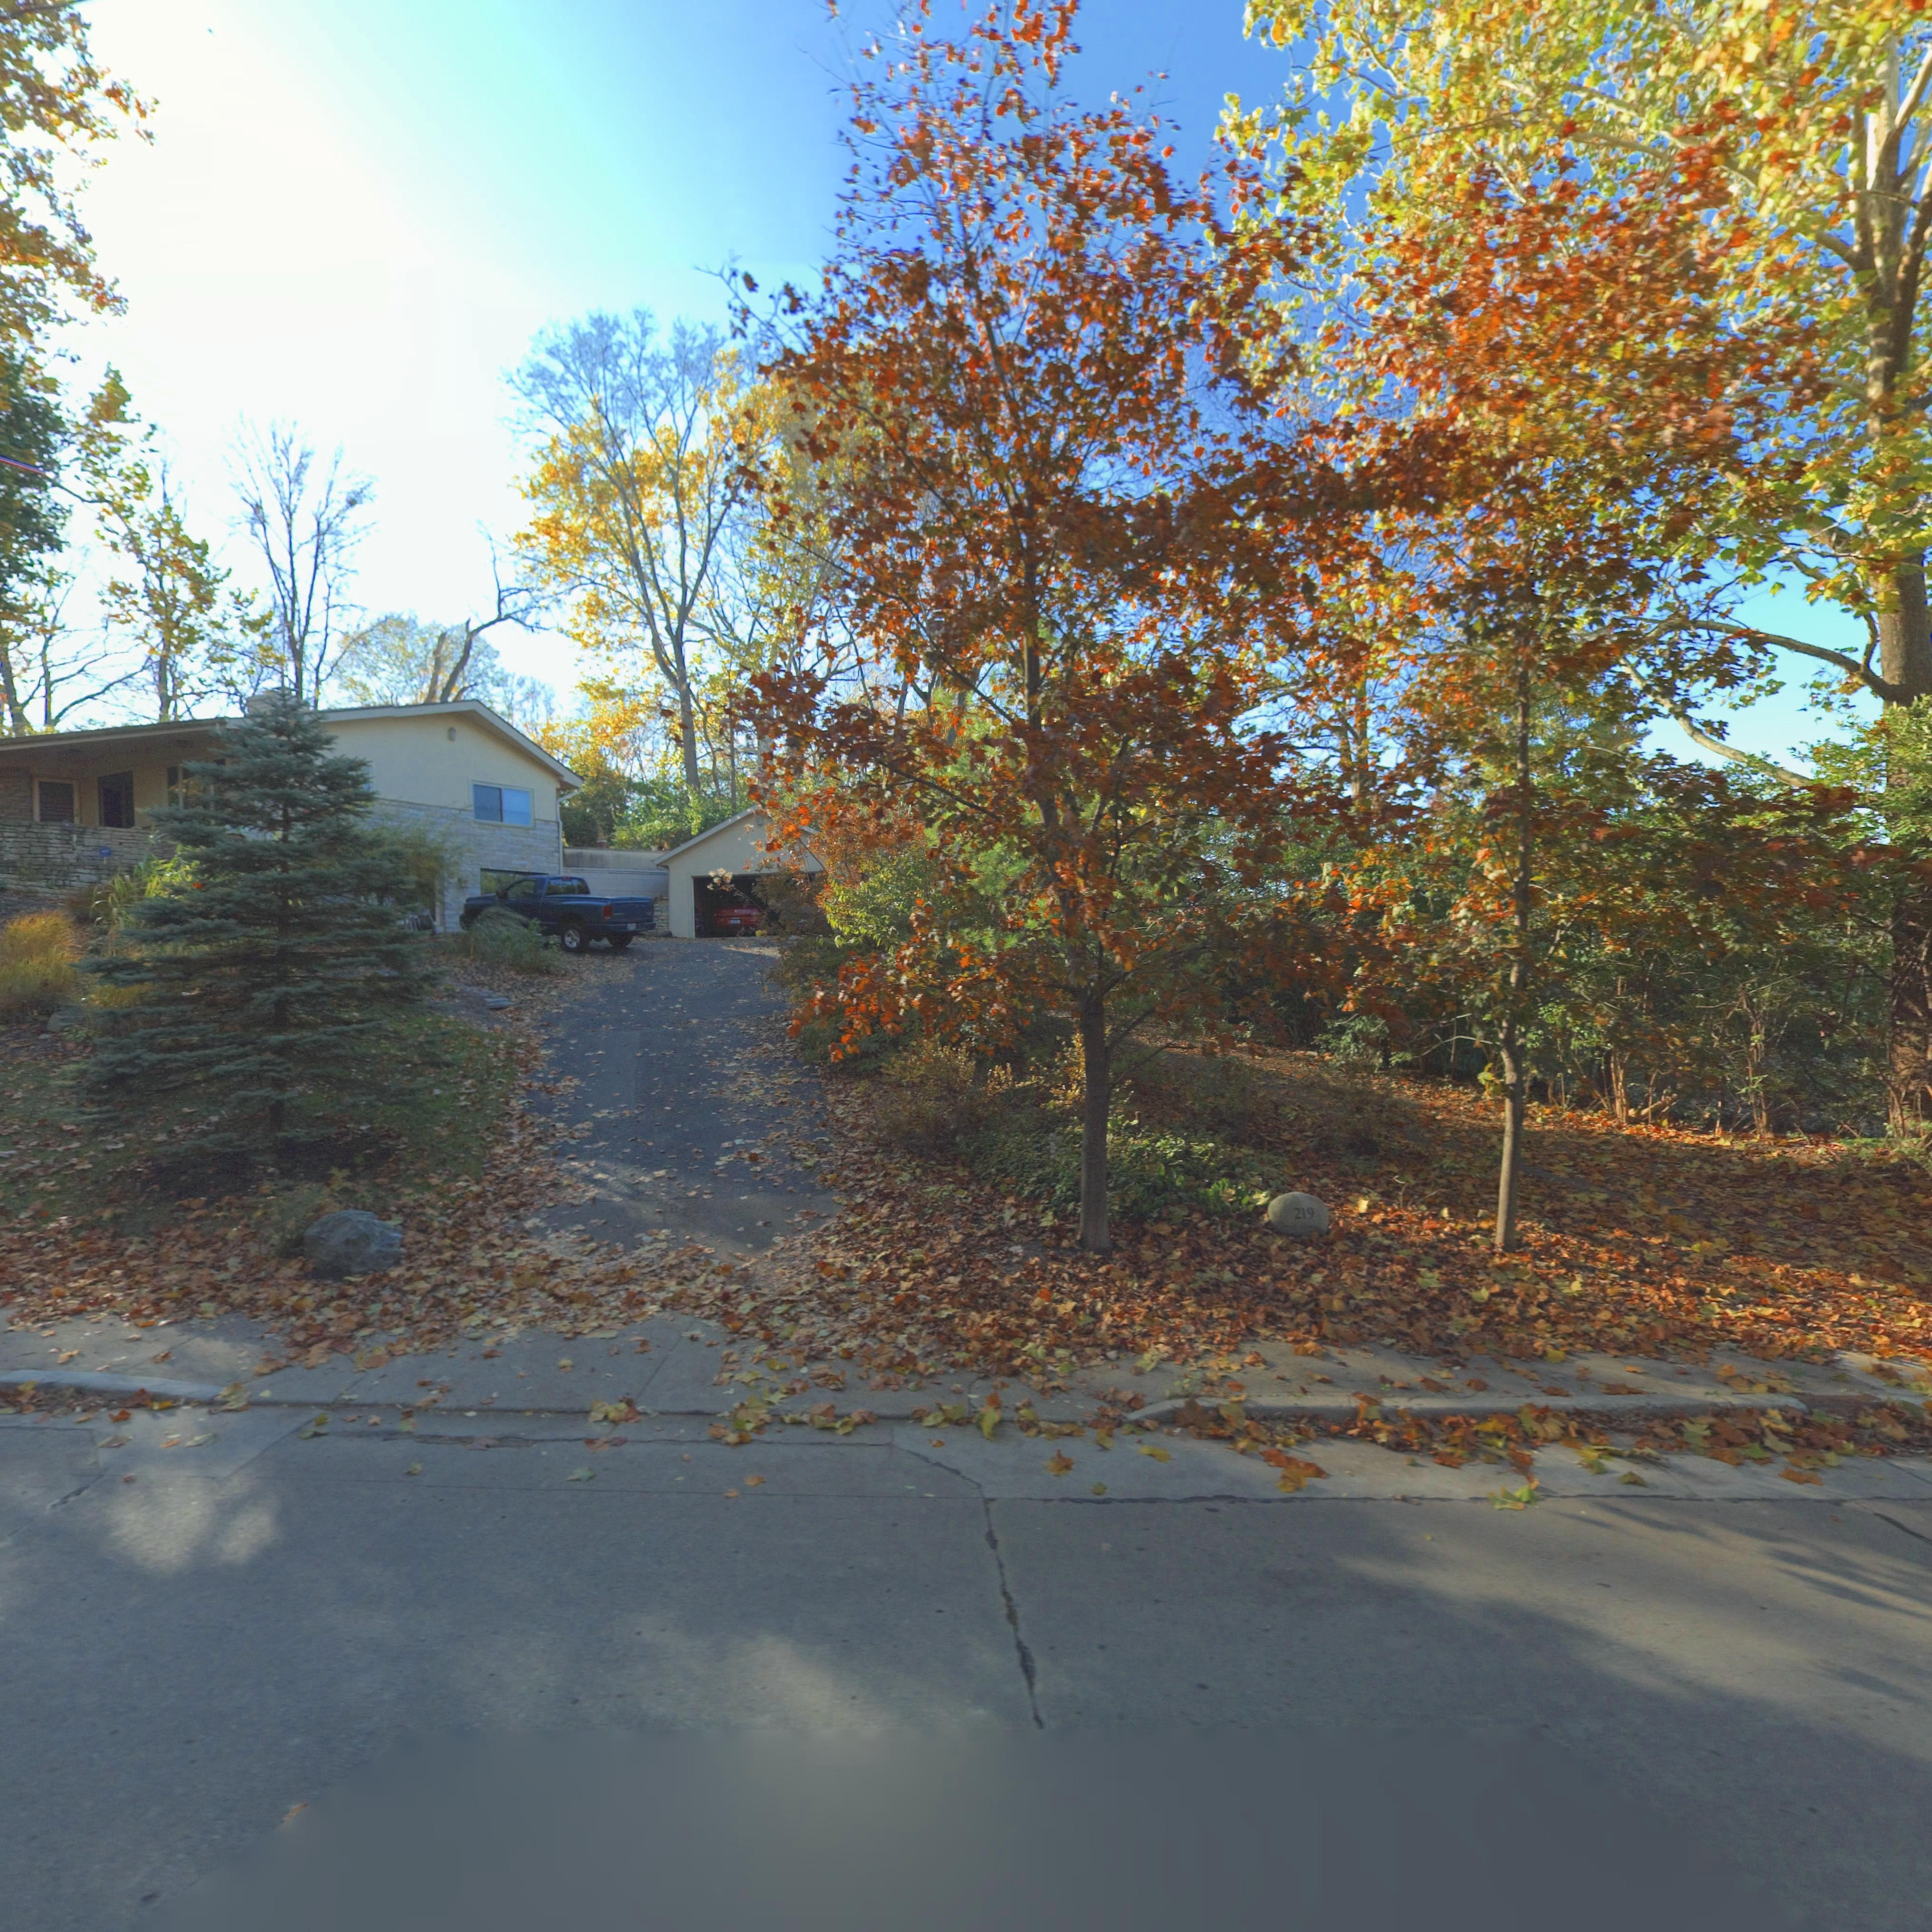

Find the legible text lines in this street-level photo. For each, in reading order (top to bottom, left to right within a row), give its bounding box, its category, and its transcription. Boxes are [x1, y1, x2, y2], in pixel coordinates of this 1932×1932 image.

[1293, 1207, 1315, 1219] StreetNumber: 219